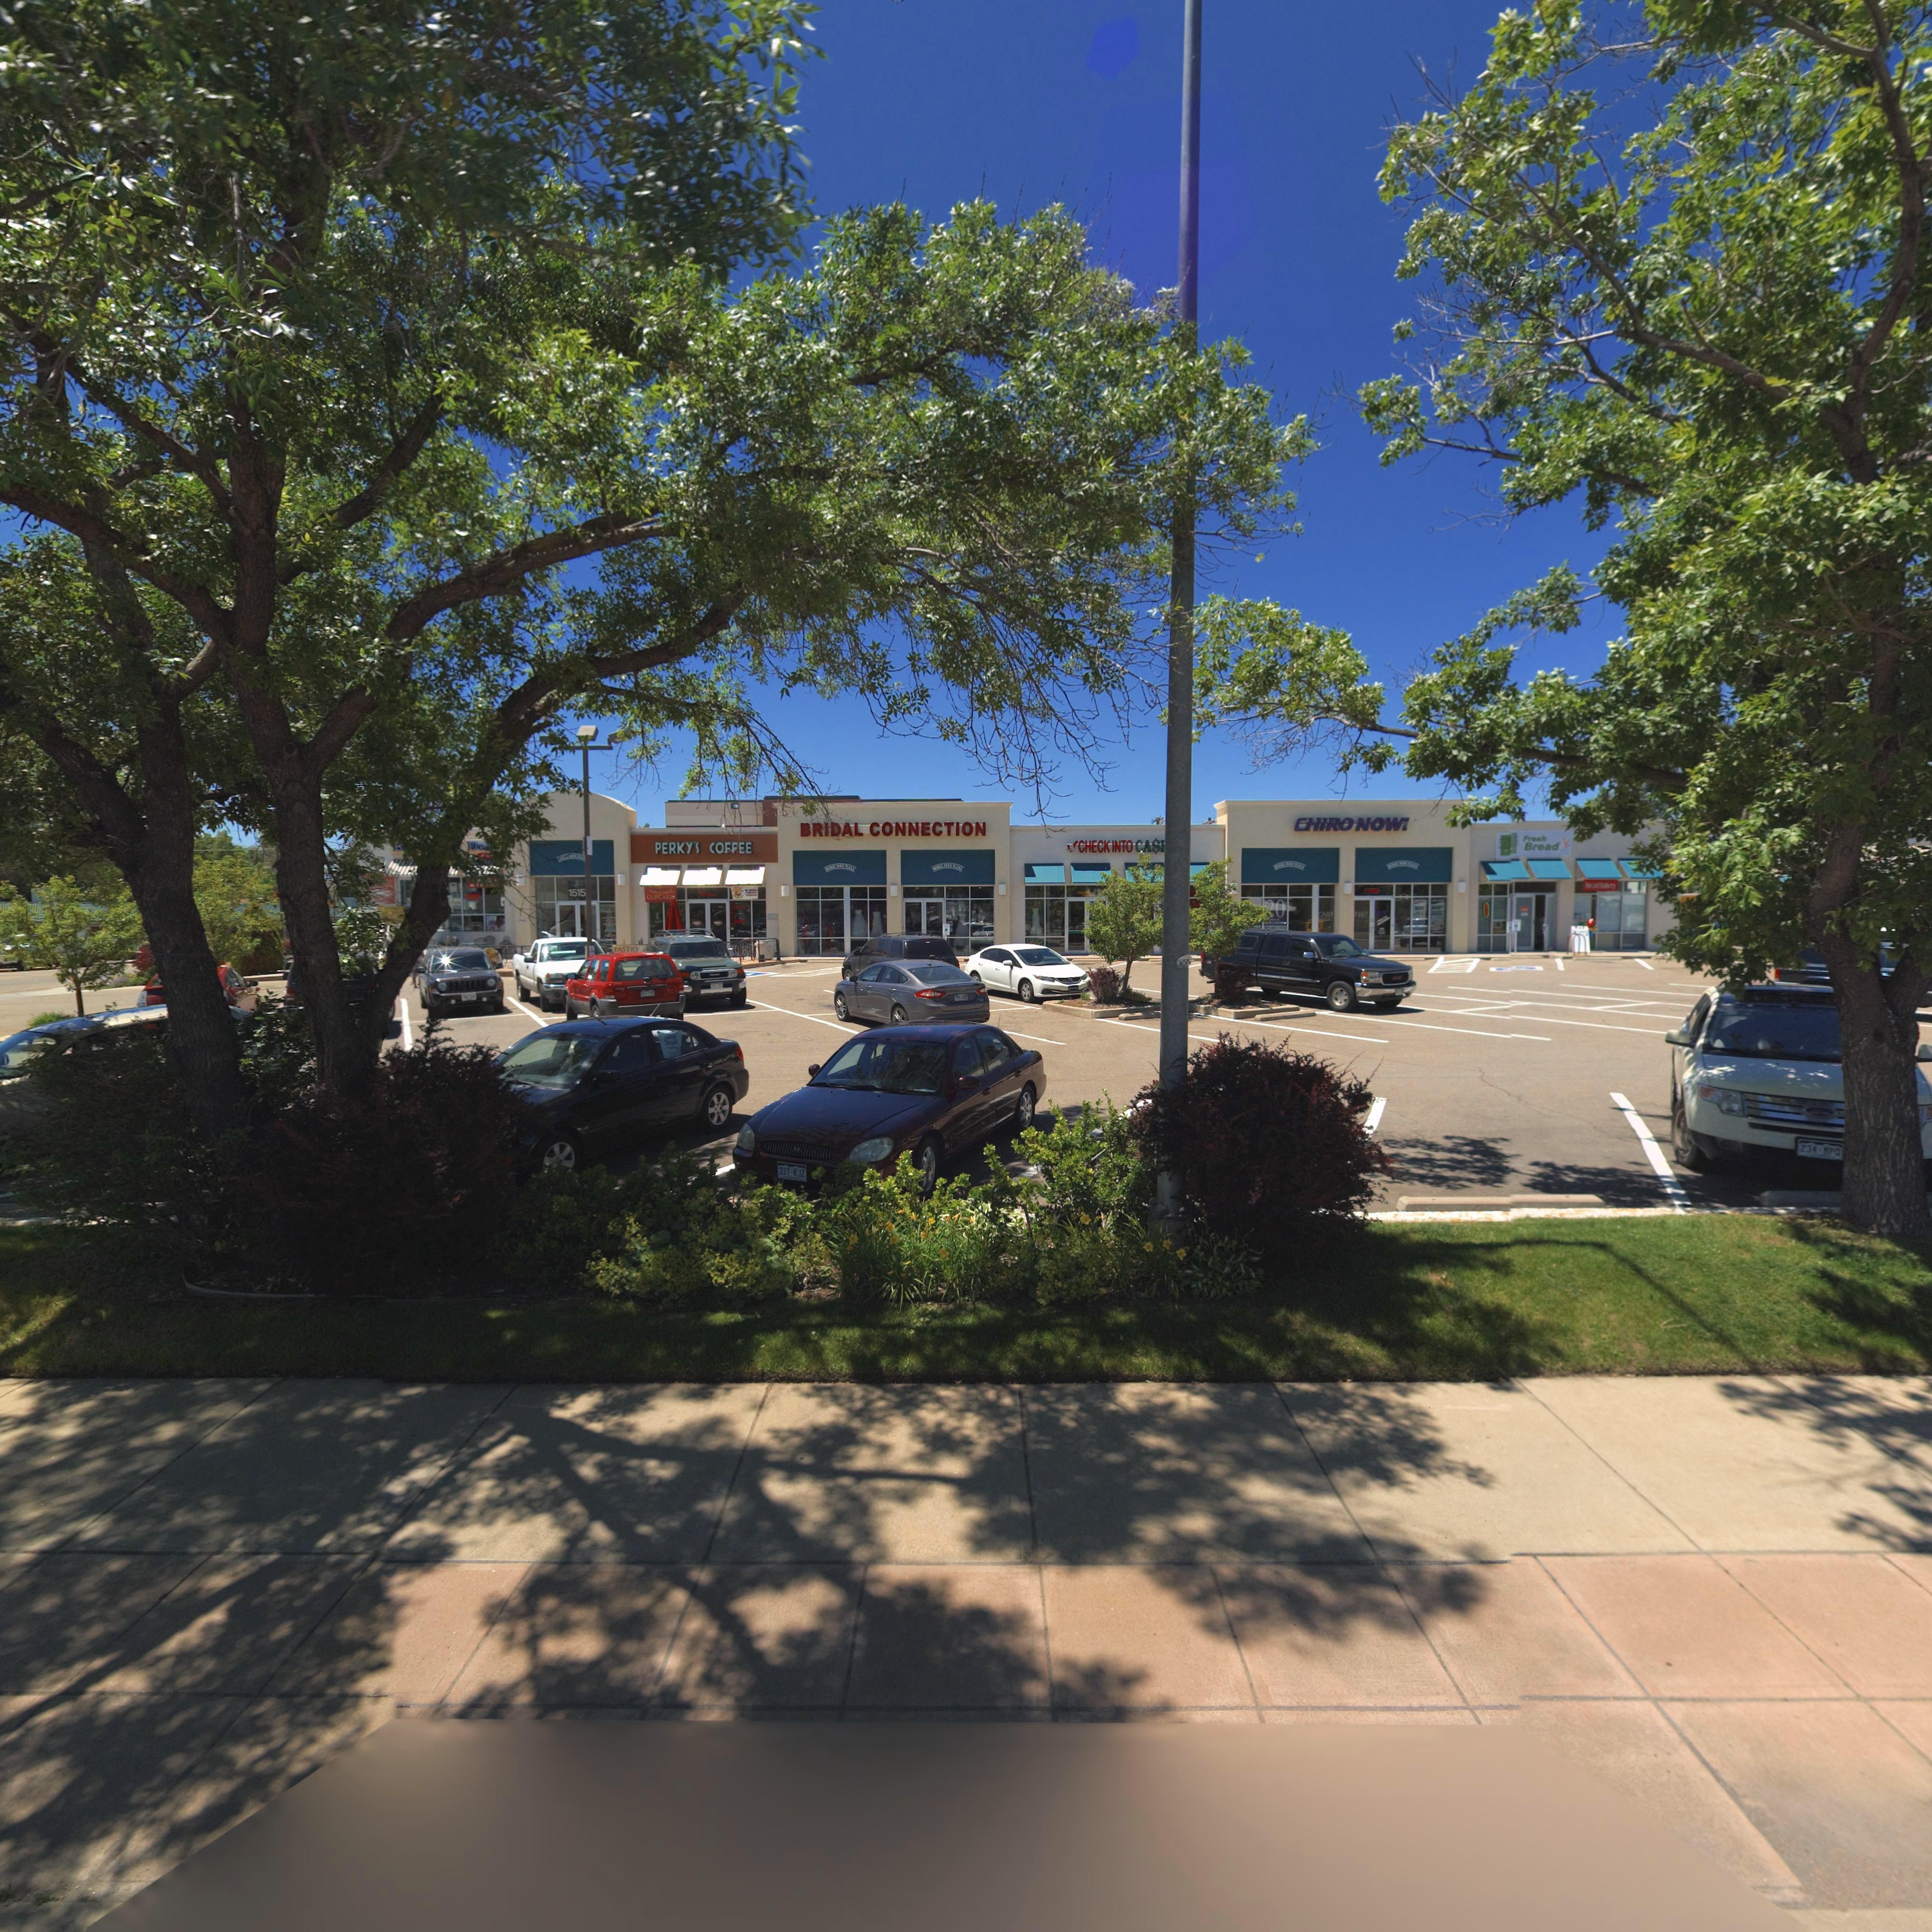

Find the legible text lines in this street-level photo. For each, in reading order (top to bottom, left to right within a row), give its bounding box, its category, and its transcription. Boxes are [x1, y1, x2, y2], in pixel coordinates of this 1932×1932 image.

[800, 821, 986, 837] BusinessName: BRIDAL CONNECTION
[1294, 816, 1410, 831] BusinessName: CHIRO NOW
[393, 840, 404, 851] BusinessName: B
[466, 840, 497, 851] BusinessName: De**
[654, 841, 753, 854] BusinessName: PERKY'S COFFEE
[1078, 839, 1161, 854] BusinessName: CHECK INTO CAS
[567, 888, 586, 897] StreetNumber: 1515